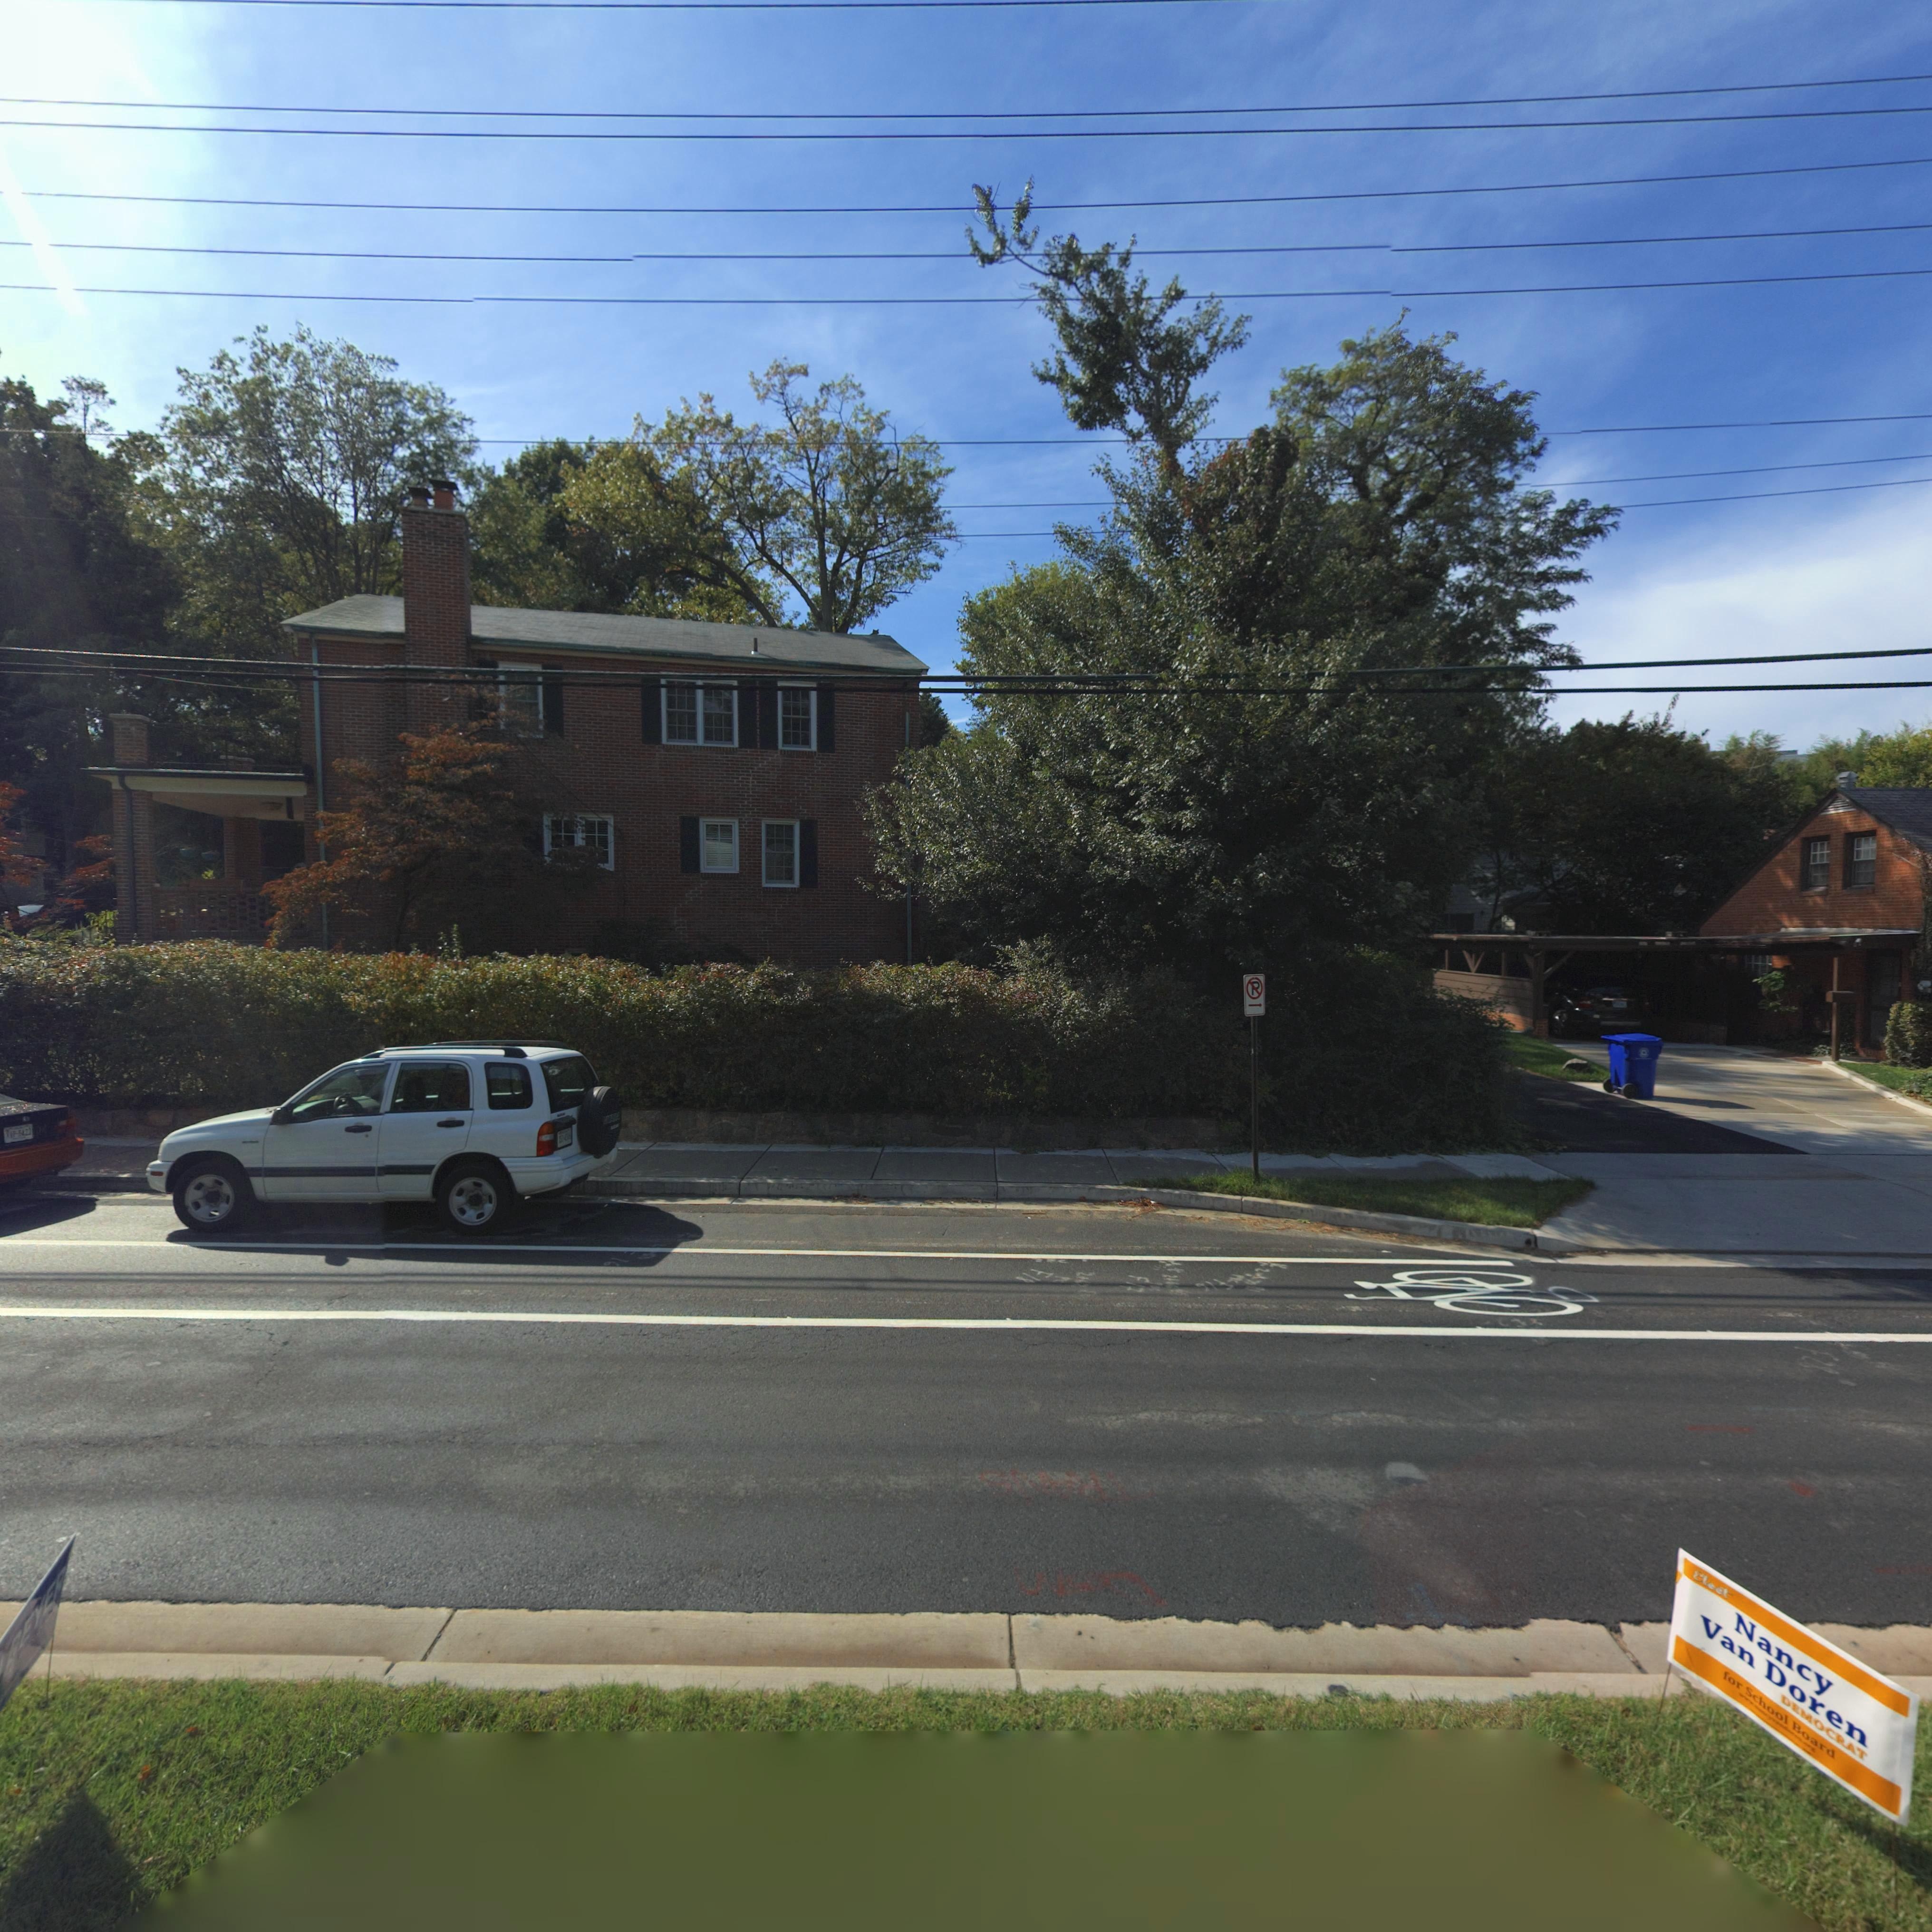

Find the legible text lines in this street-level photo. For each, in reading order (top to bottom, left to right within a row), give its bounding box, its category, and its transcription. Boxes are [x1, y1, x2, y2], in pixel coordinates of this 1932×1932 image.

[1722, 1668, 1839, 1762] None: for School Board
[1697, 1610, 1870, 1753] None: Van Doren
[1731, 1606, 1837, 1700] None: Nancy
[1778, 1688, 1870, 1764] None: DEMOCRAT